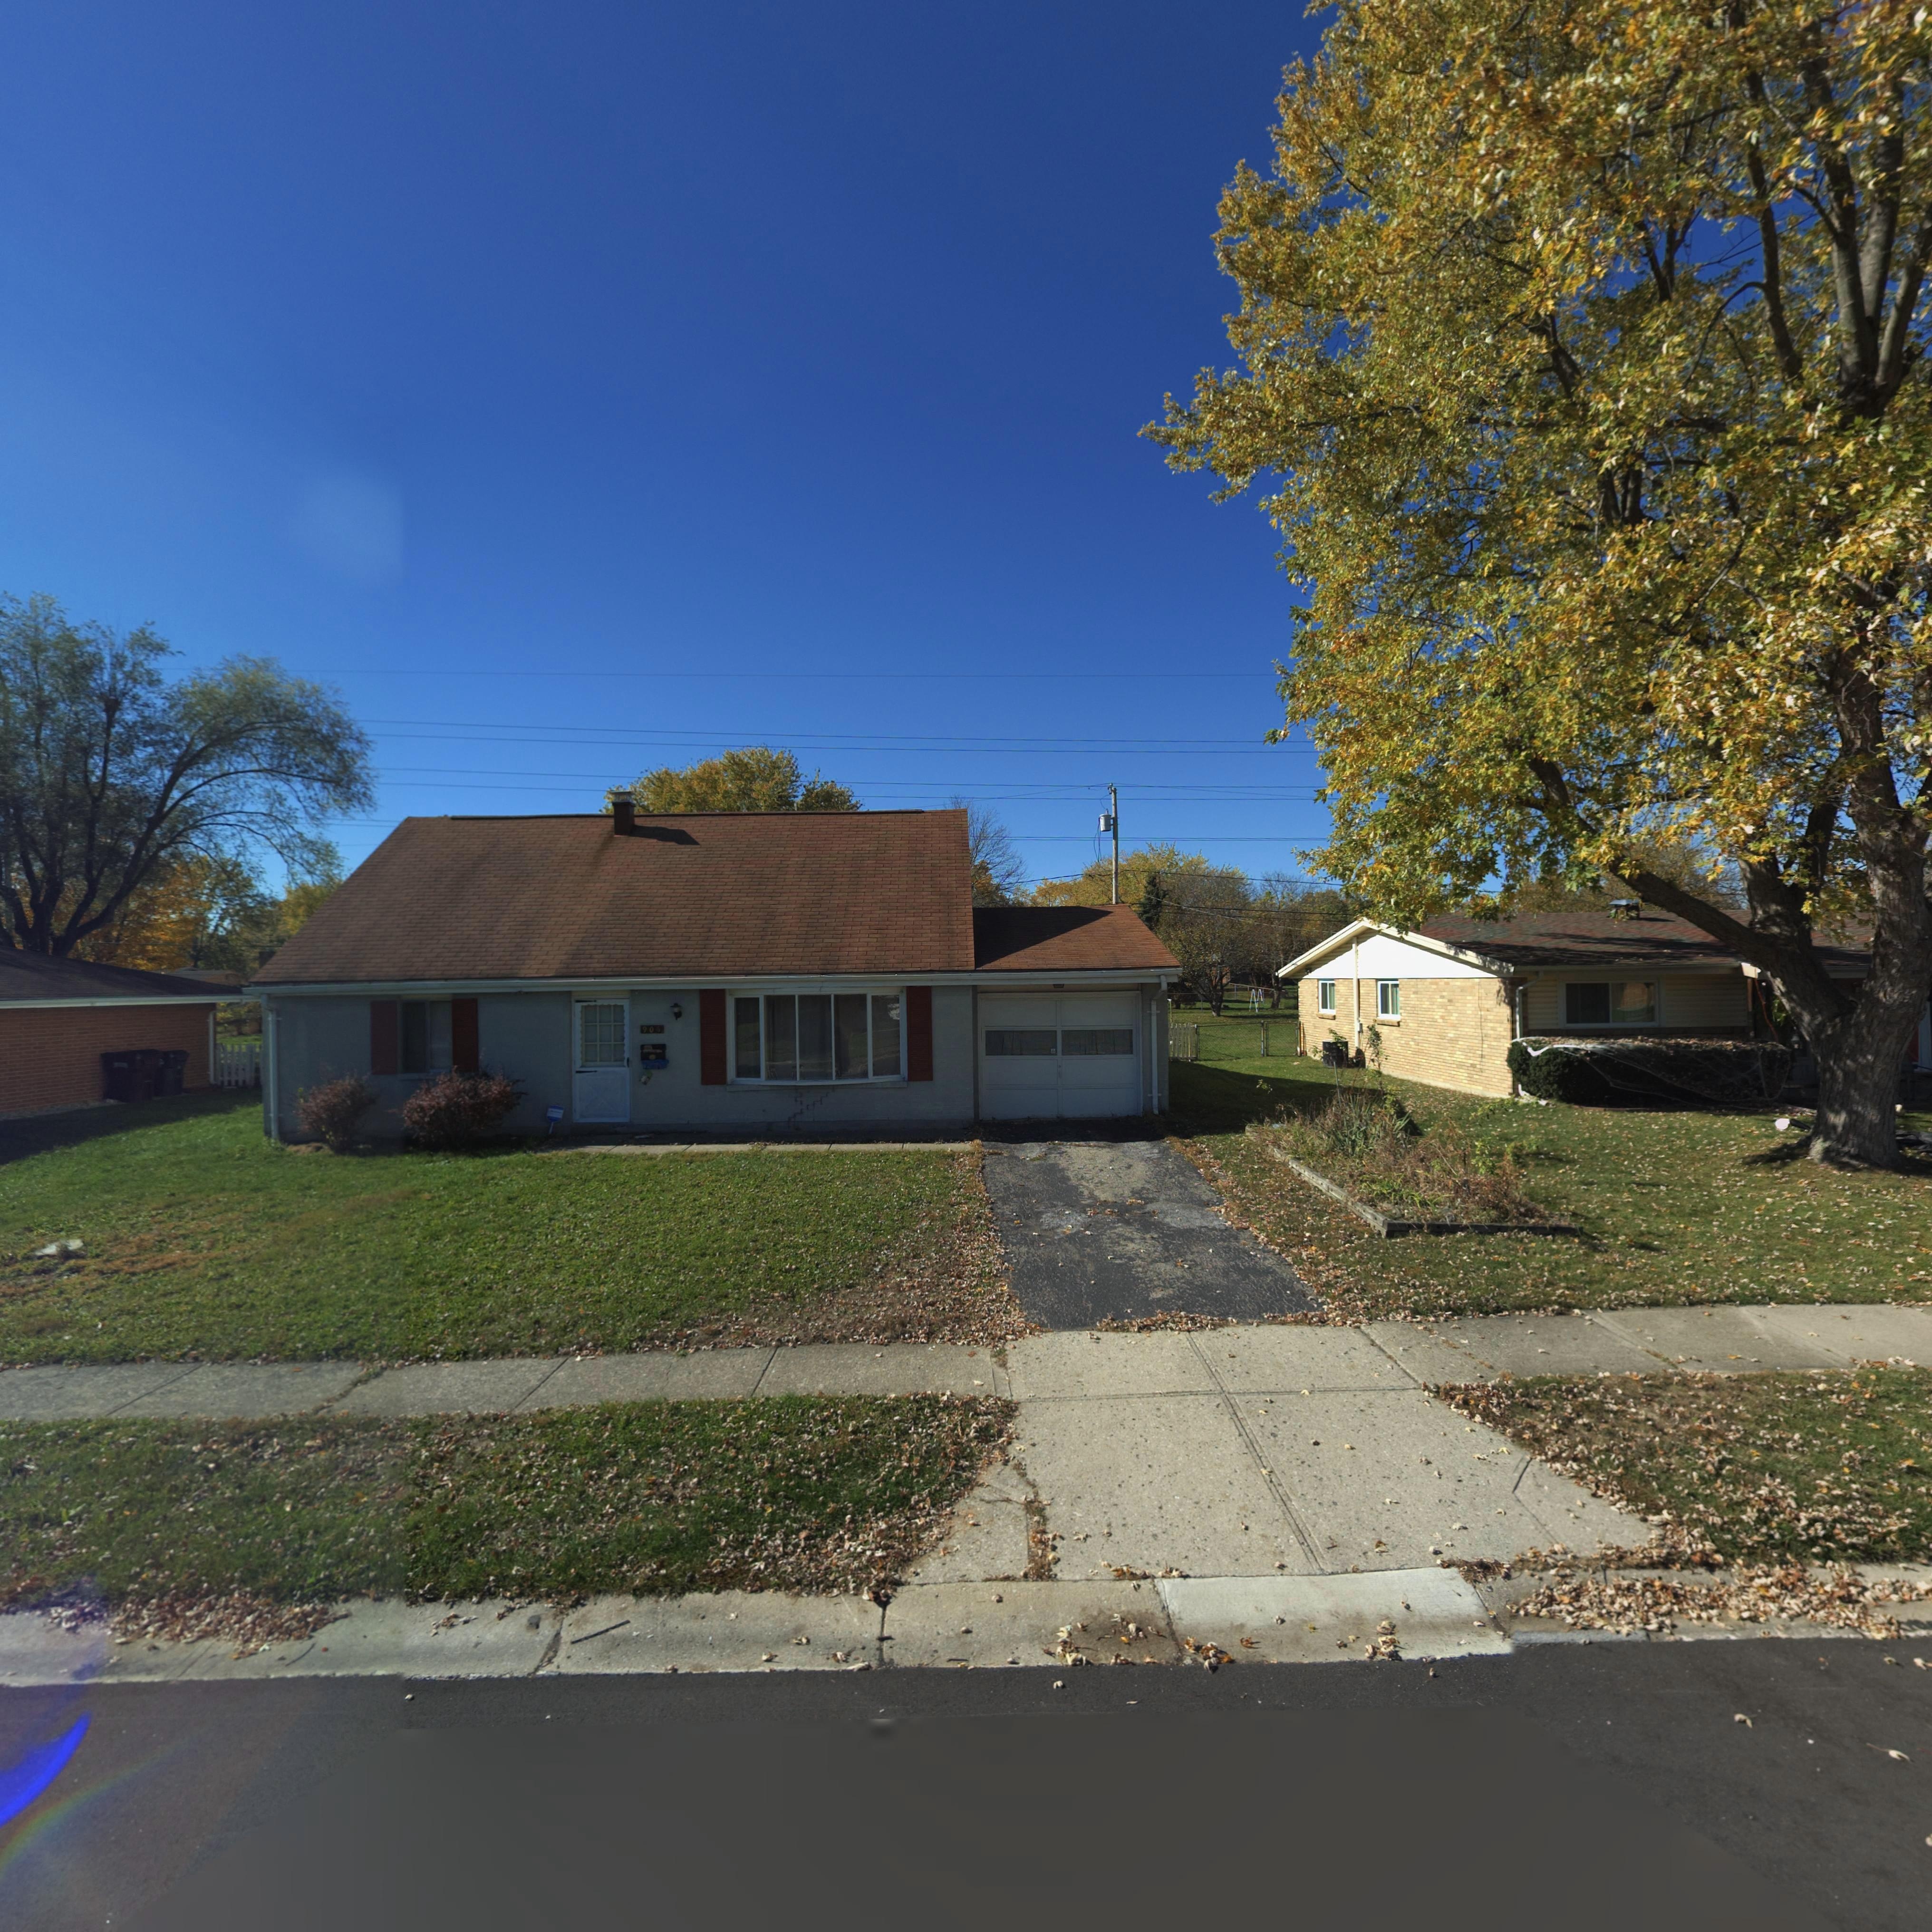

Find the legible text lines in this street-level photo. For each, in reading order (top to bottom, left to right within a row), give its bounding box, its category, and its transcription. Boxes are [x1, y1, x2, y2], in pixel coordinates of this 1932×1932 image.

[642, 1025, 661, 1033] StreetNumber: 906